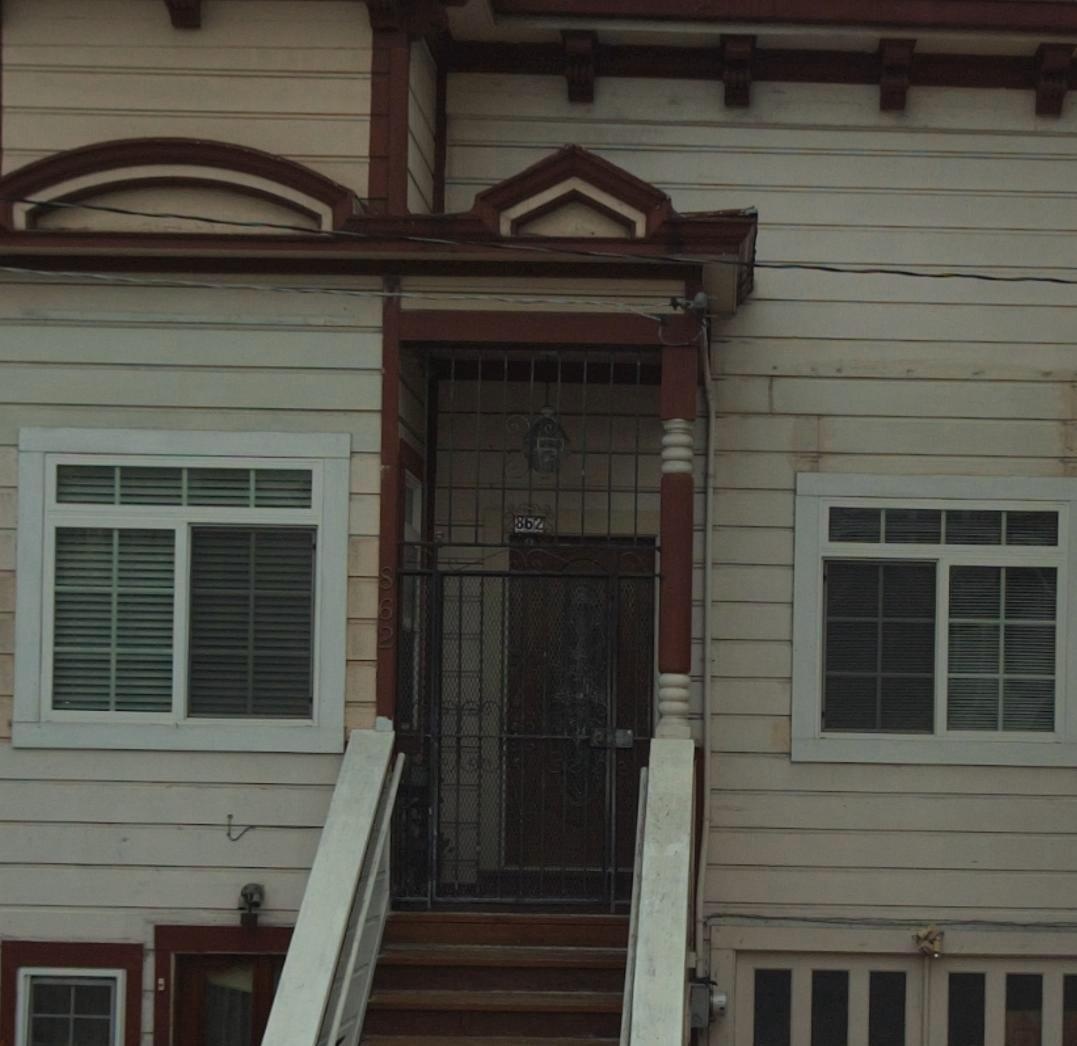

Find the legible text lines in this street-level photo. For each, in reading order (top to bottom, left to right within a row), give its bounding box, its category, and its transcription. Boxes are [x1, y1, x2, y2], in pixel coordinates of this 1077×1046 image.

[514, 515, 545, 531] StreetNumber: 862